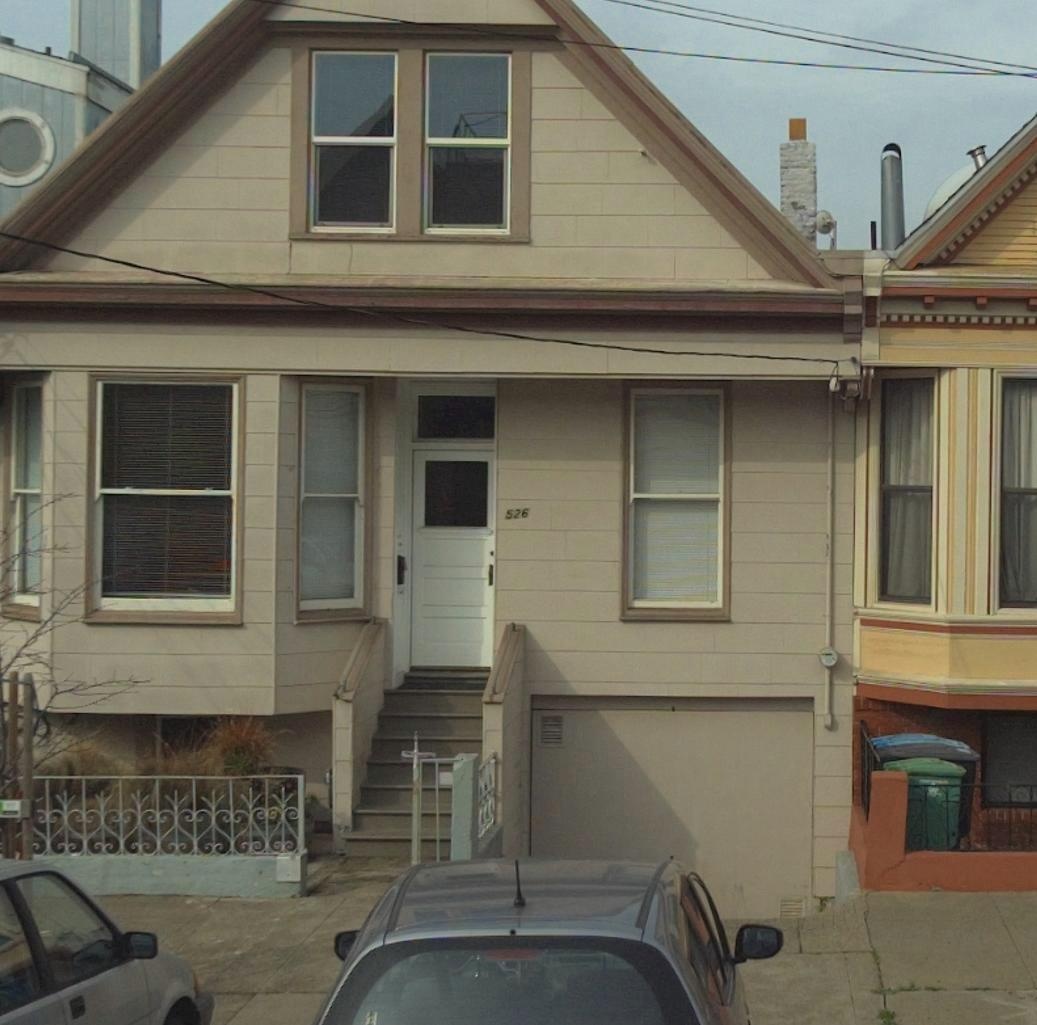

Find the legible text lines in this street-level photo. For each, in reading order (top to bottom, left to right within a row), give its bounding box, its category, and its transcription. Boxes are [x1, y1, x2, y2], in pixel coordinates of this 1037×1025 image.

[505, 506, 531, 521] StreetNumber: 526